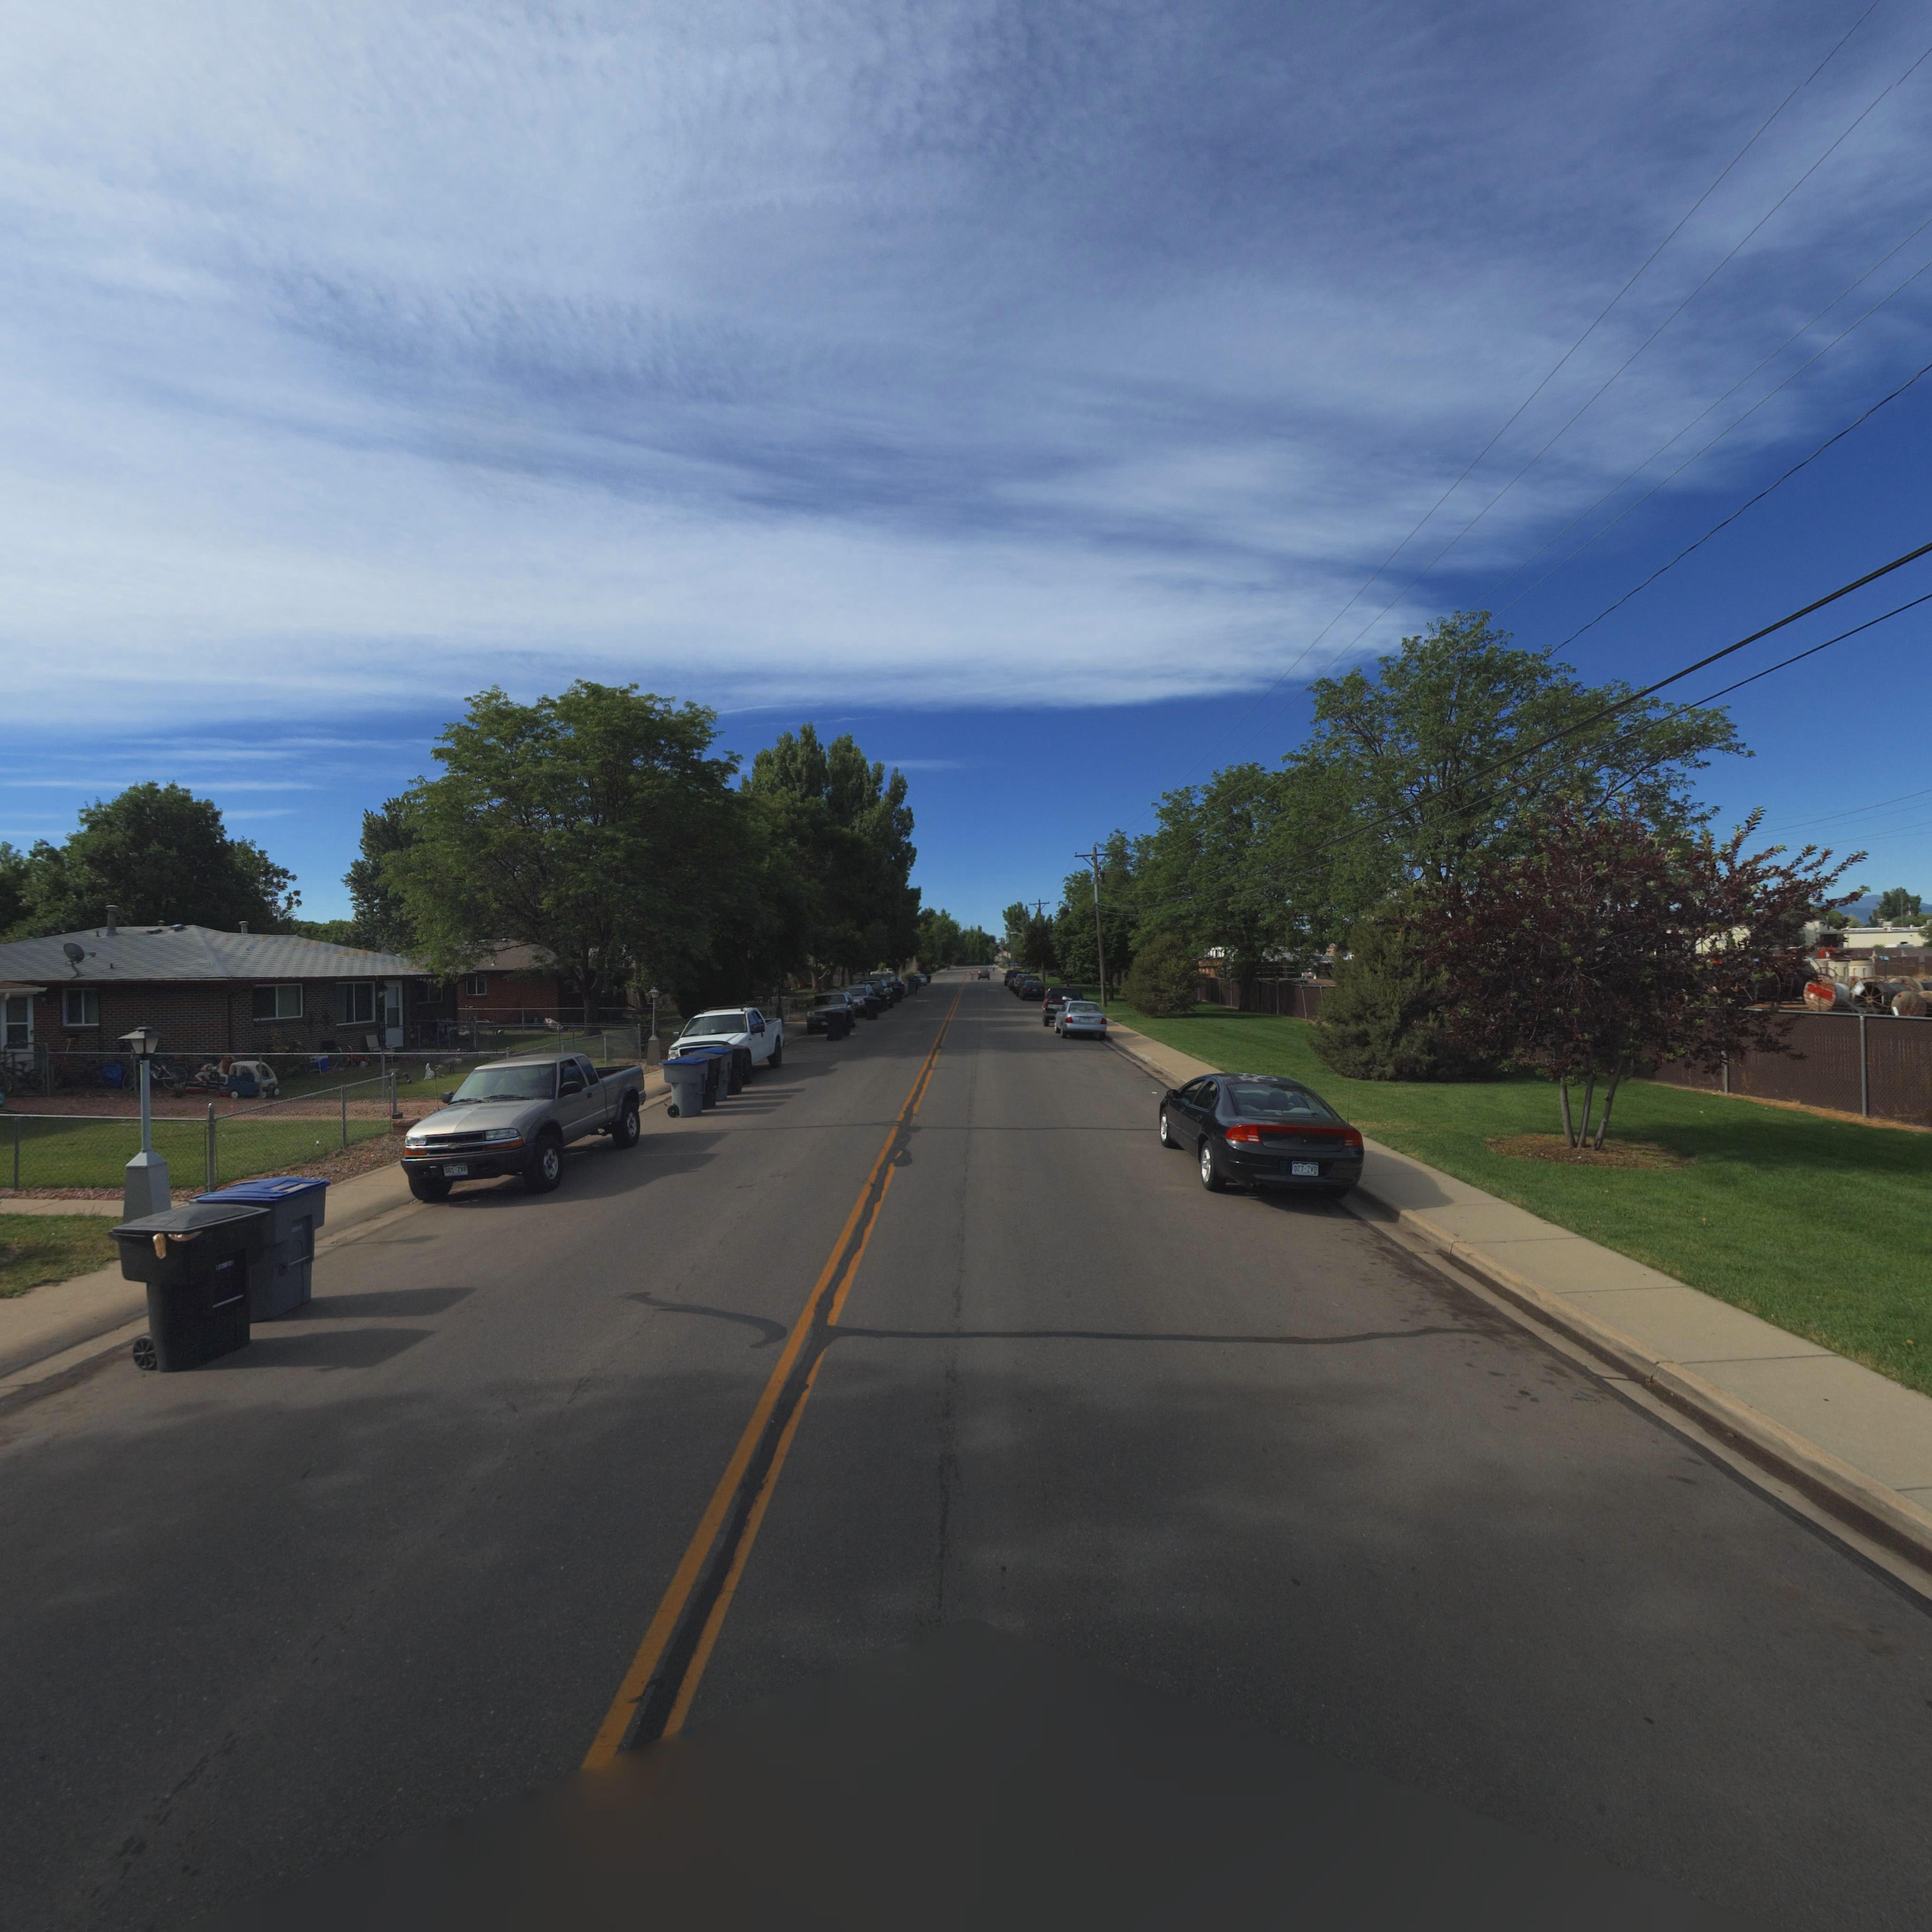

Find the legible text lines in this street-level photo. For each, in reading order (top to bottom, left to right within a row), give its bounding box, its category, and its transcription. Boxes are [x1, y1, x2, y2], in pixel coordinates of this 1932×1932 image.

[378, 990, 385, 998] StreetNumber: 64*